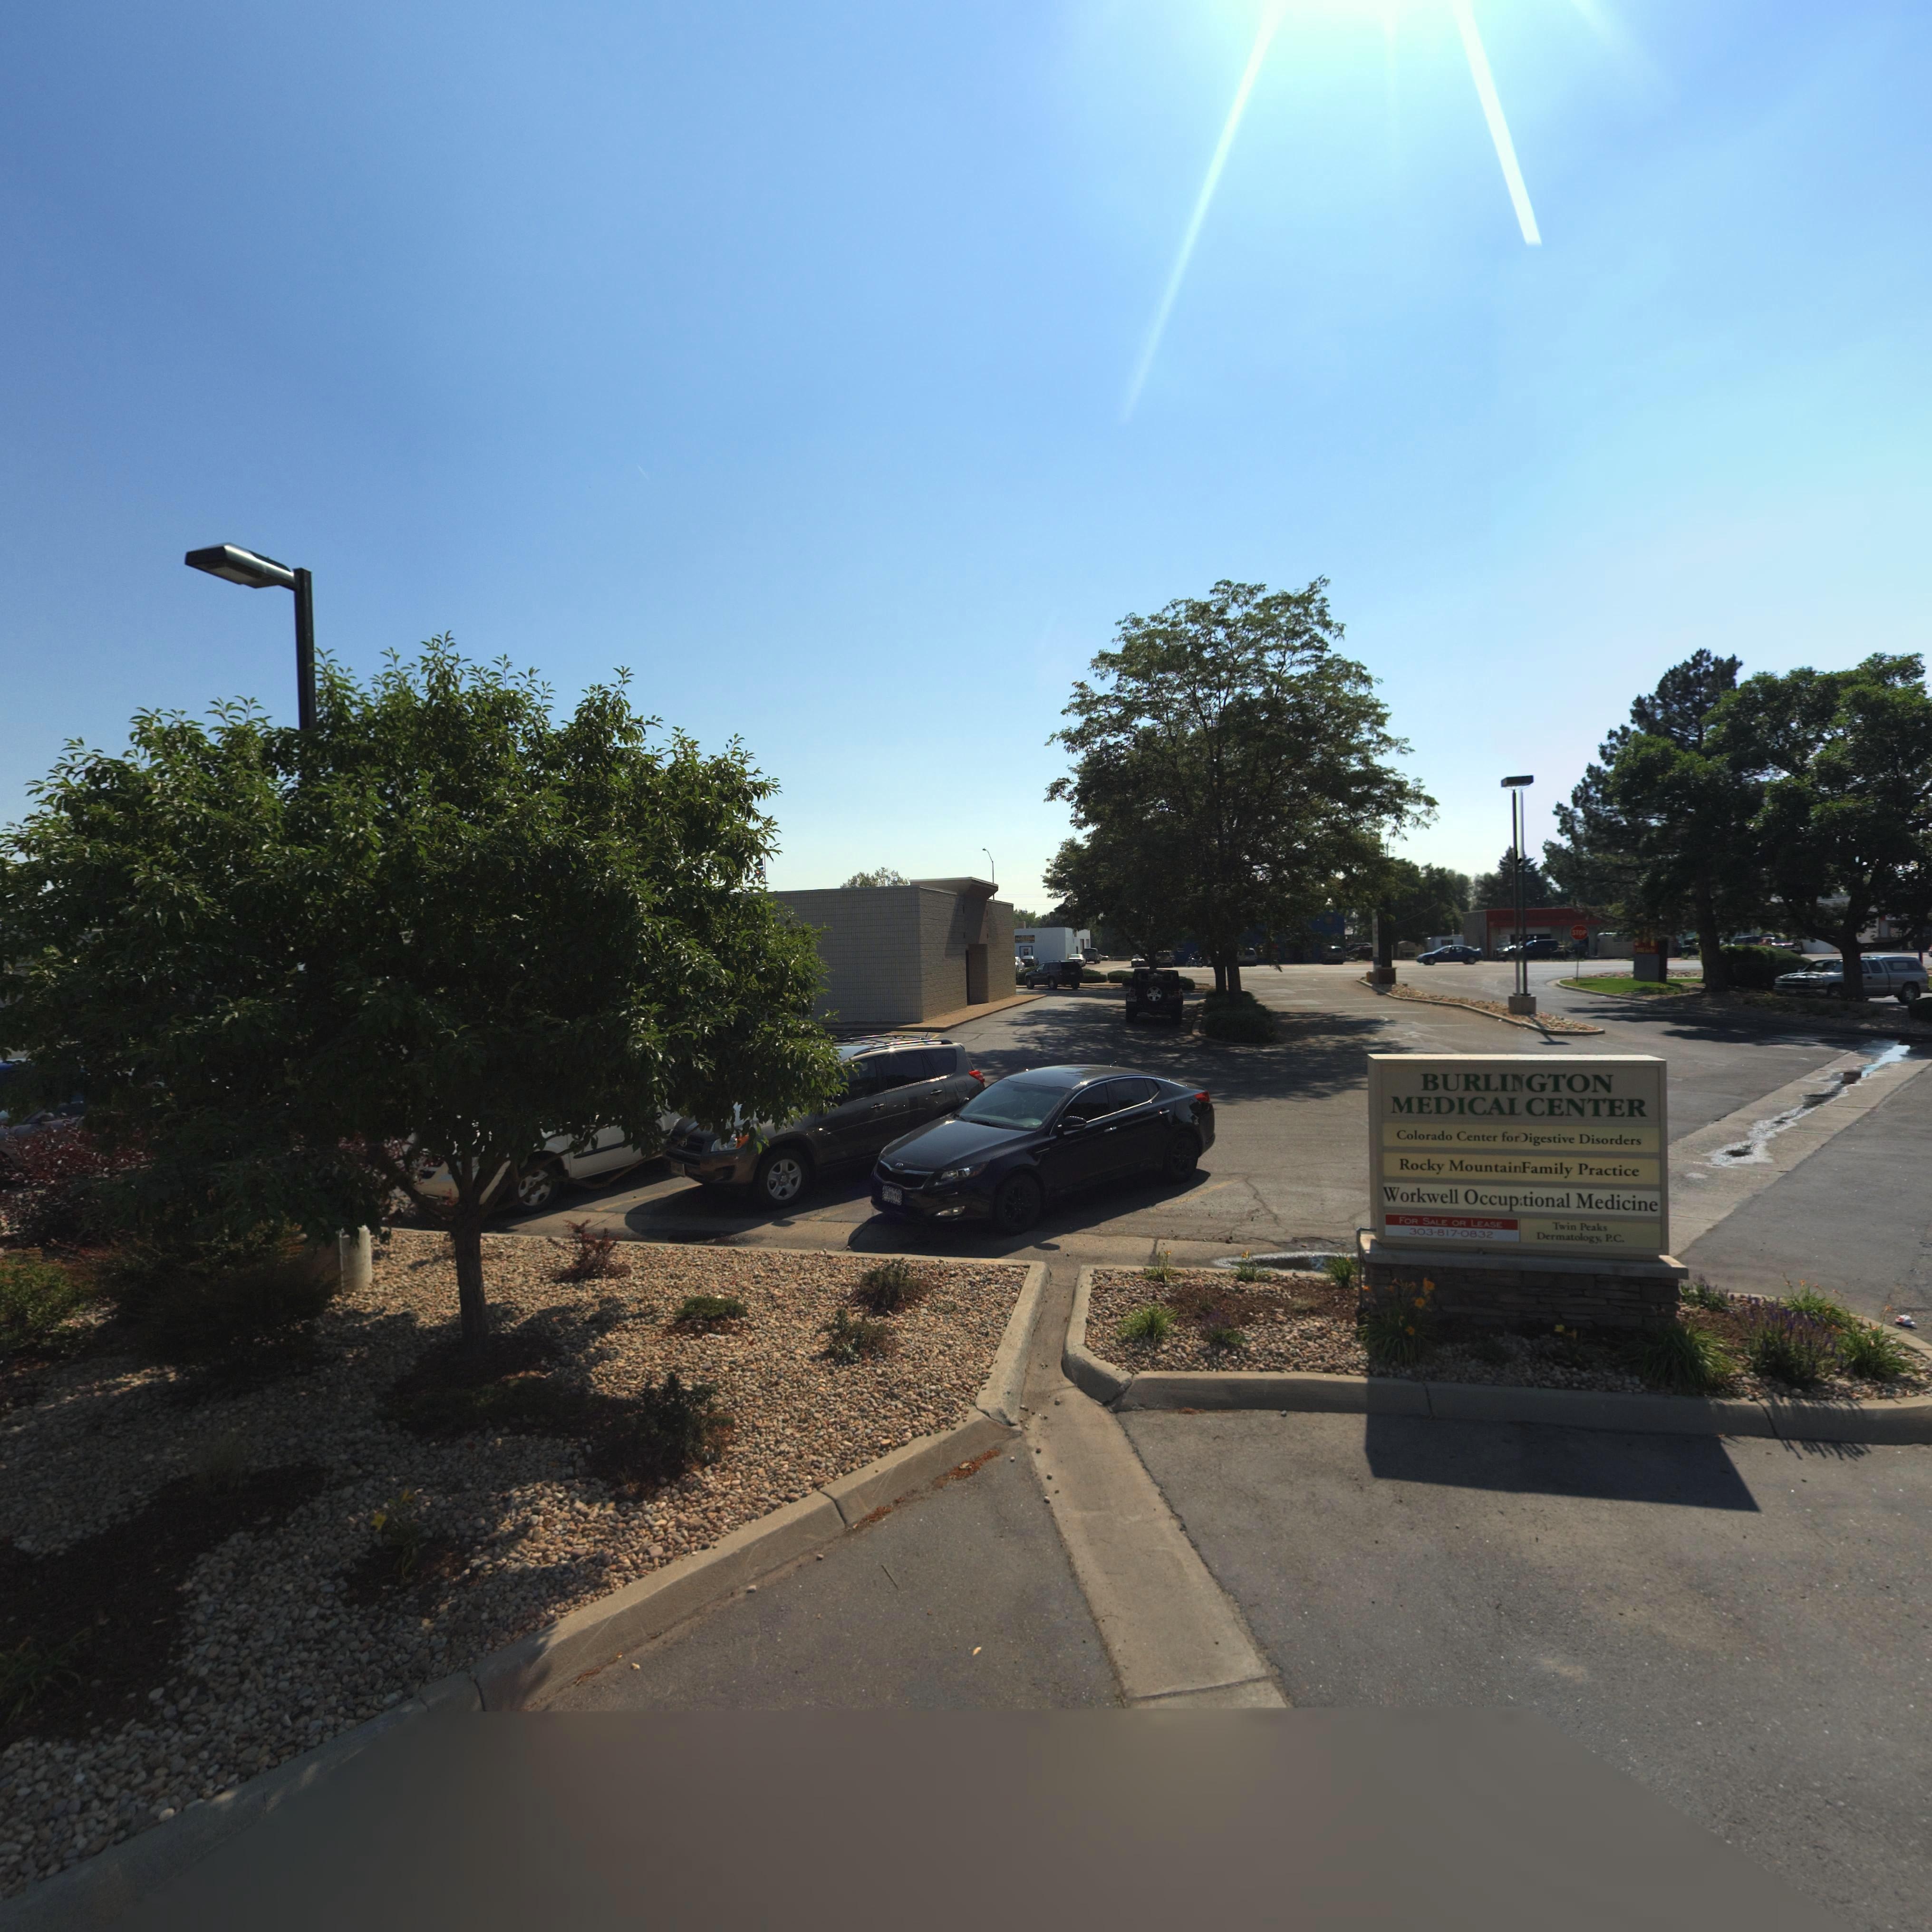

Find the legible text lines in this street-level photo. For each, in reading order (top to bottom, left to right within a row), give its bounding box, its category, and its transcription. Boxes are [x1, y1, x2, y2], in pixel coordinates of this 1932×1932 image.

[1396, 1129, 1643, 1147] BusinessName: Colorado Center For*igestive Disorders
[1398, 1157, 1641, 1179] BusinessName: Rock MountainFamily Practice
[1381, 1185, 1660, 1213] BusinessName: Workwell Occup*tional Medicine
[1551, 1221, 1609, 1232] BusinessName: Twin Peaks
[1536, 1230, 1625, 1245] BusinessName: Dermatology, P.C.